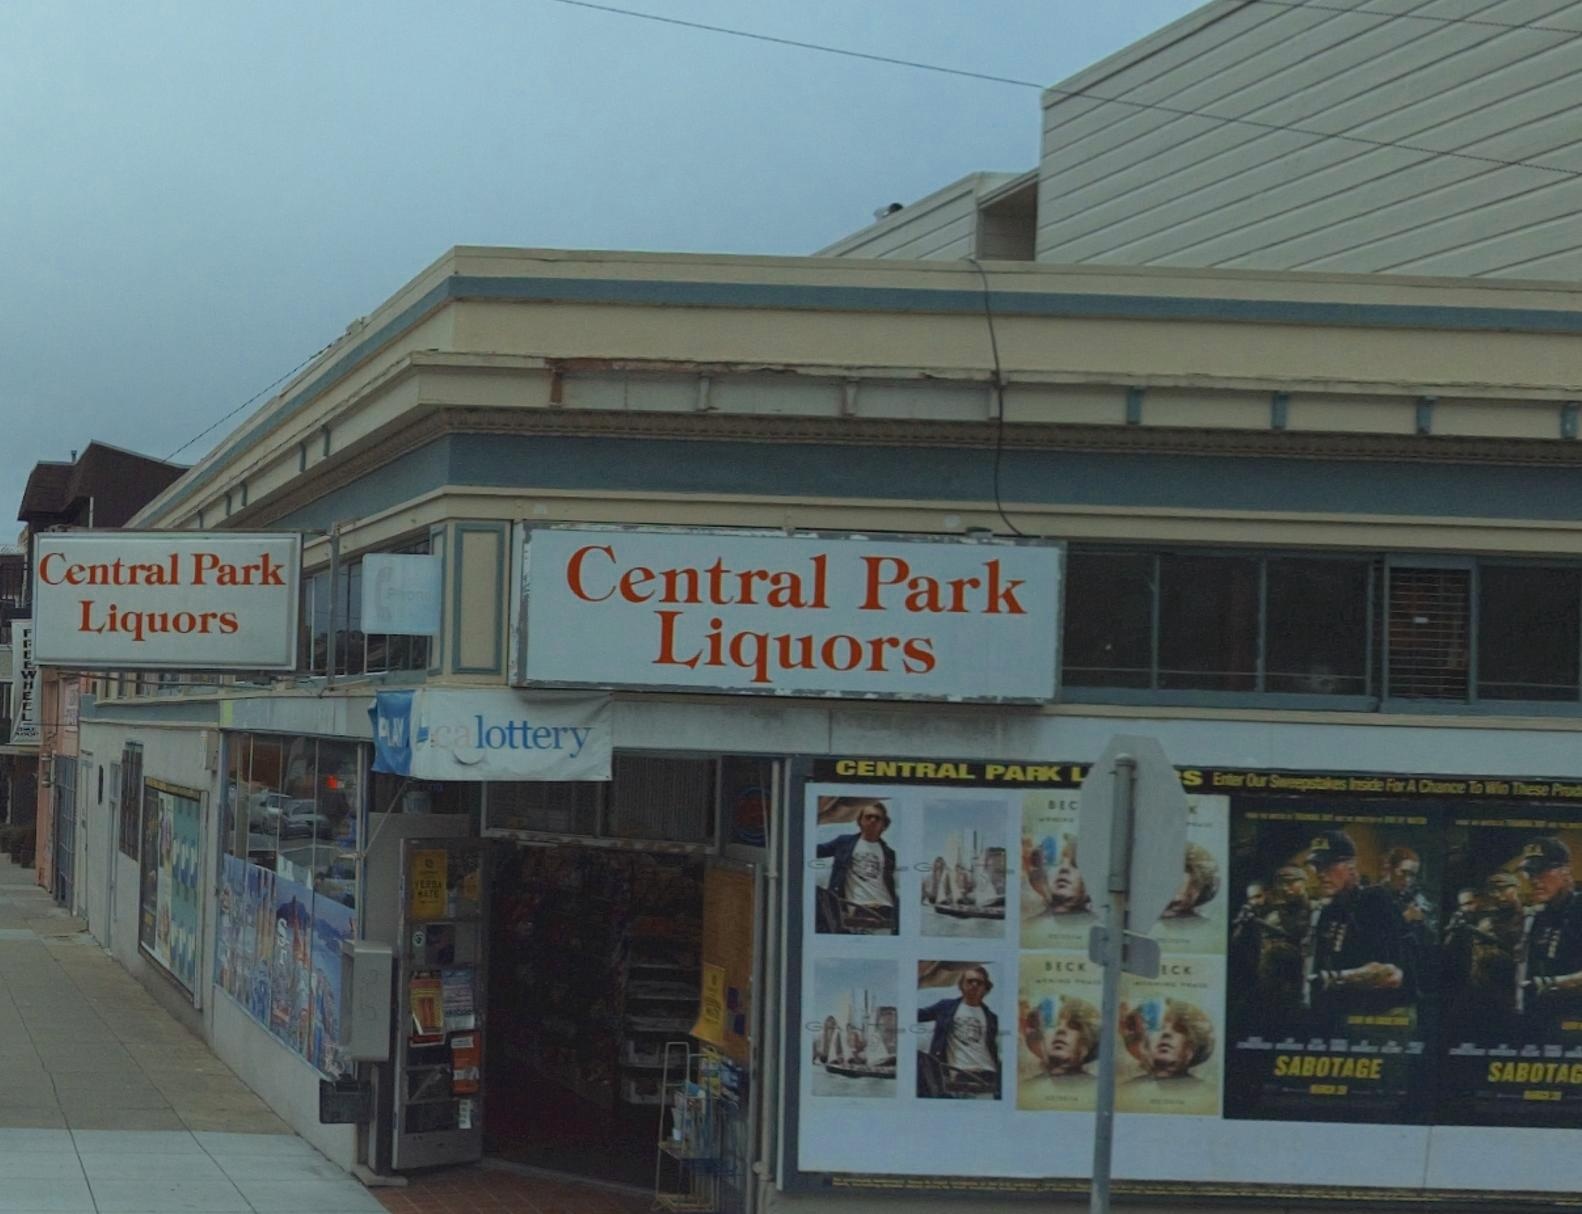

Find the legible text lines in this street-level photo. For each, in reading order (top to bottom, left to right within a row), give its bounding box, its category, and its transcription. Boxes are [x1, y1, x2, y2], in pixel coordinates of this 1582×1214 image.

[39, 551, 288, 587] BusinessName: Central Park
[385, 584, 435, 602] None: Phone
[565, 543, 1031, 617] BusinessName: Central Park
[77, 599, 239, 642] BusinessName: Liquors
[649, 608, 936, 684] BusinessName: Liquors
[20, 669, 37, 723] BusinessName: WHEEL
[433, 712, 596, 761] None: calottery
[833, 757, 1582, 801] None: CENTRAL PARK L S Enter Our Sweepstakes Inside For A Chance To Win These Prod
[1047, 799, 1079, 811] None: BEC
[414, 878, 443, 890] None: YERBA
[416, 889, 441, 900] None: MATE
[1043, 960, 1088, 972] None: BECK
[1160, 963, 1193, 977] None: ECK
[1273, 1054, 1384, 1080] None: SABOTAGE
[1486, 1060, 1582, 1086] None: SABOTA